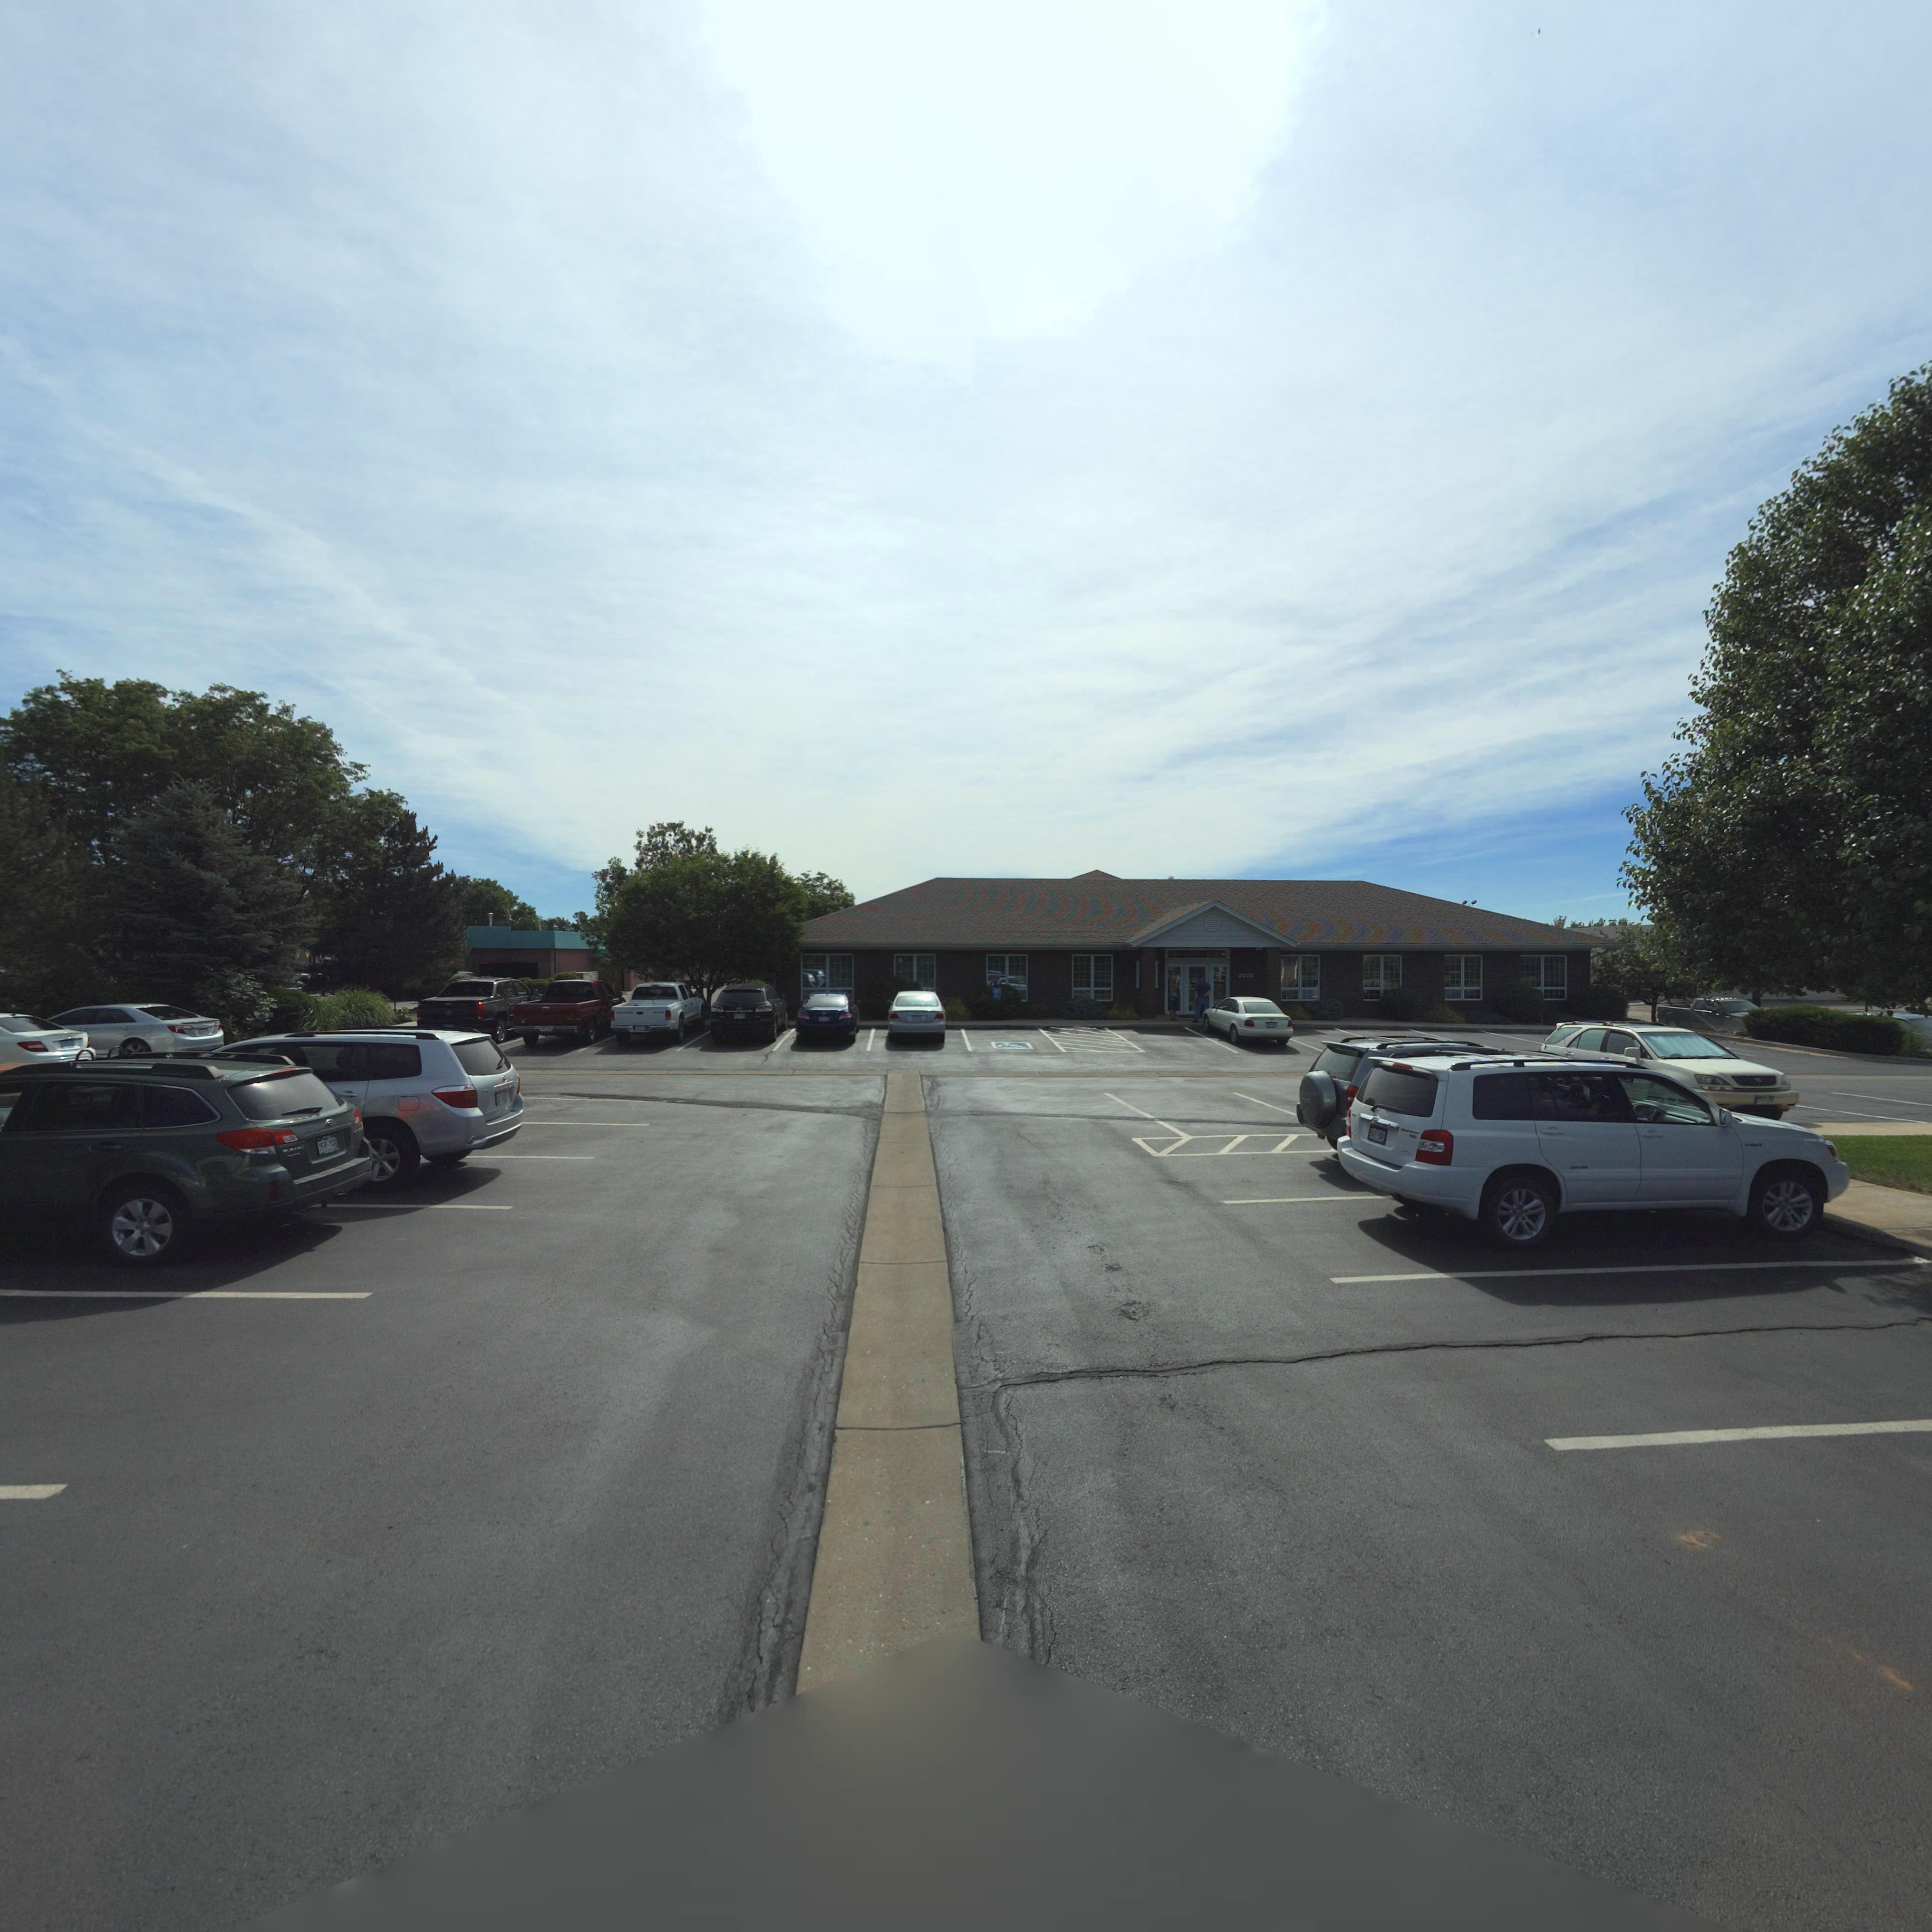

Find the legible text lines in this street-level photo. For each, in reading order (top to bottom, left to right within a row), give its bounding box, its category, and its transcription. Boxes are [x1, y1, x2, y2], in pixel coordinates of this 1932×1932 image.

[1238, 973, 1253, 977] StreetNumber: 2020